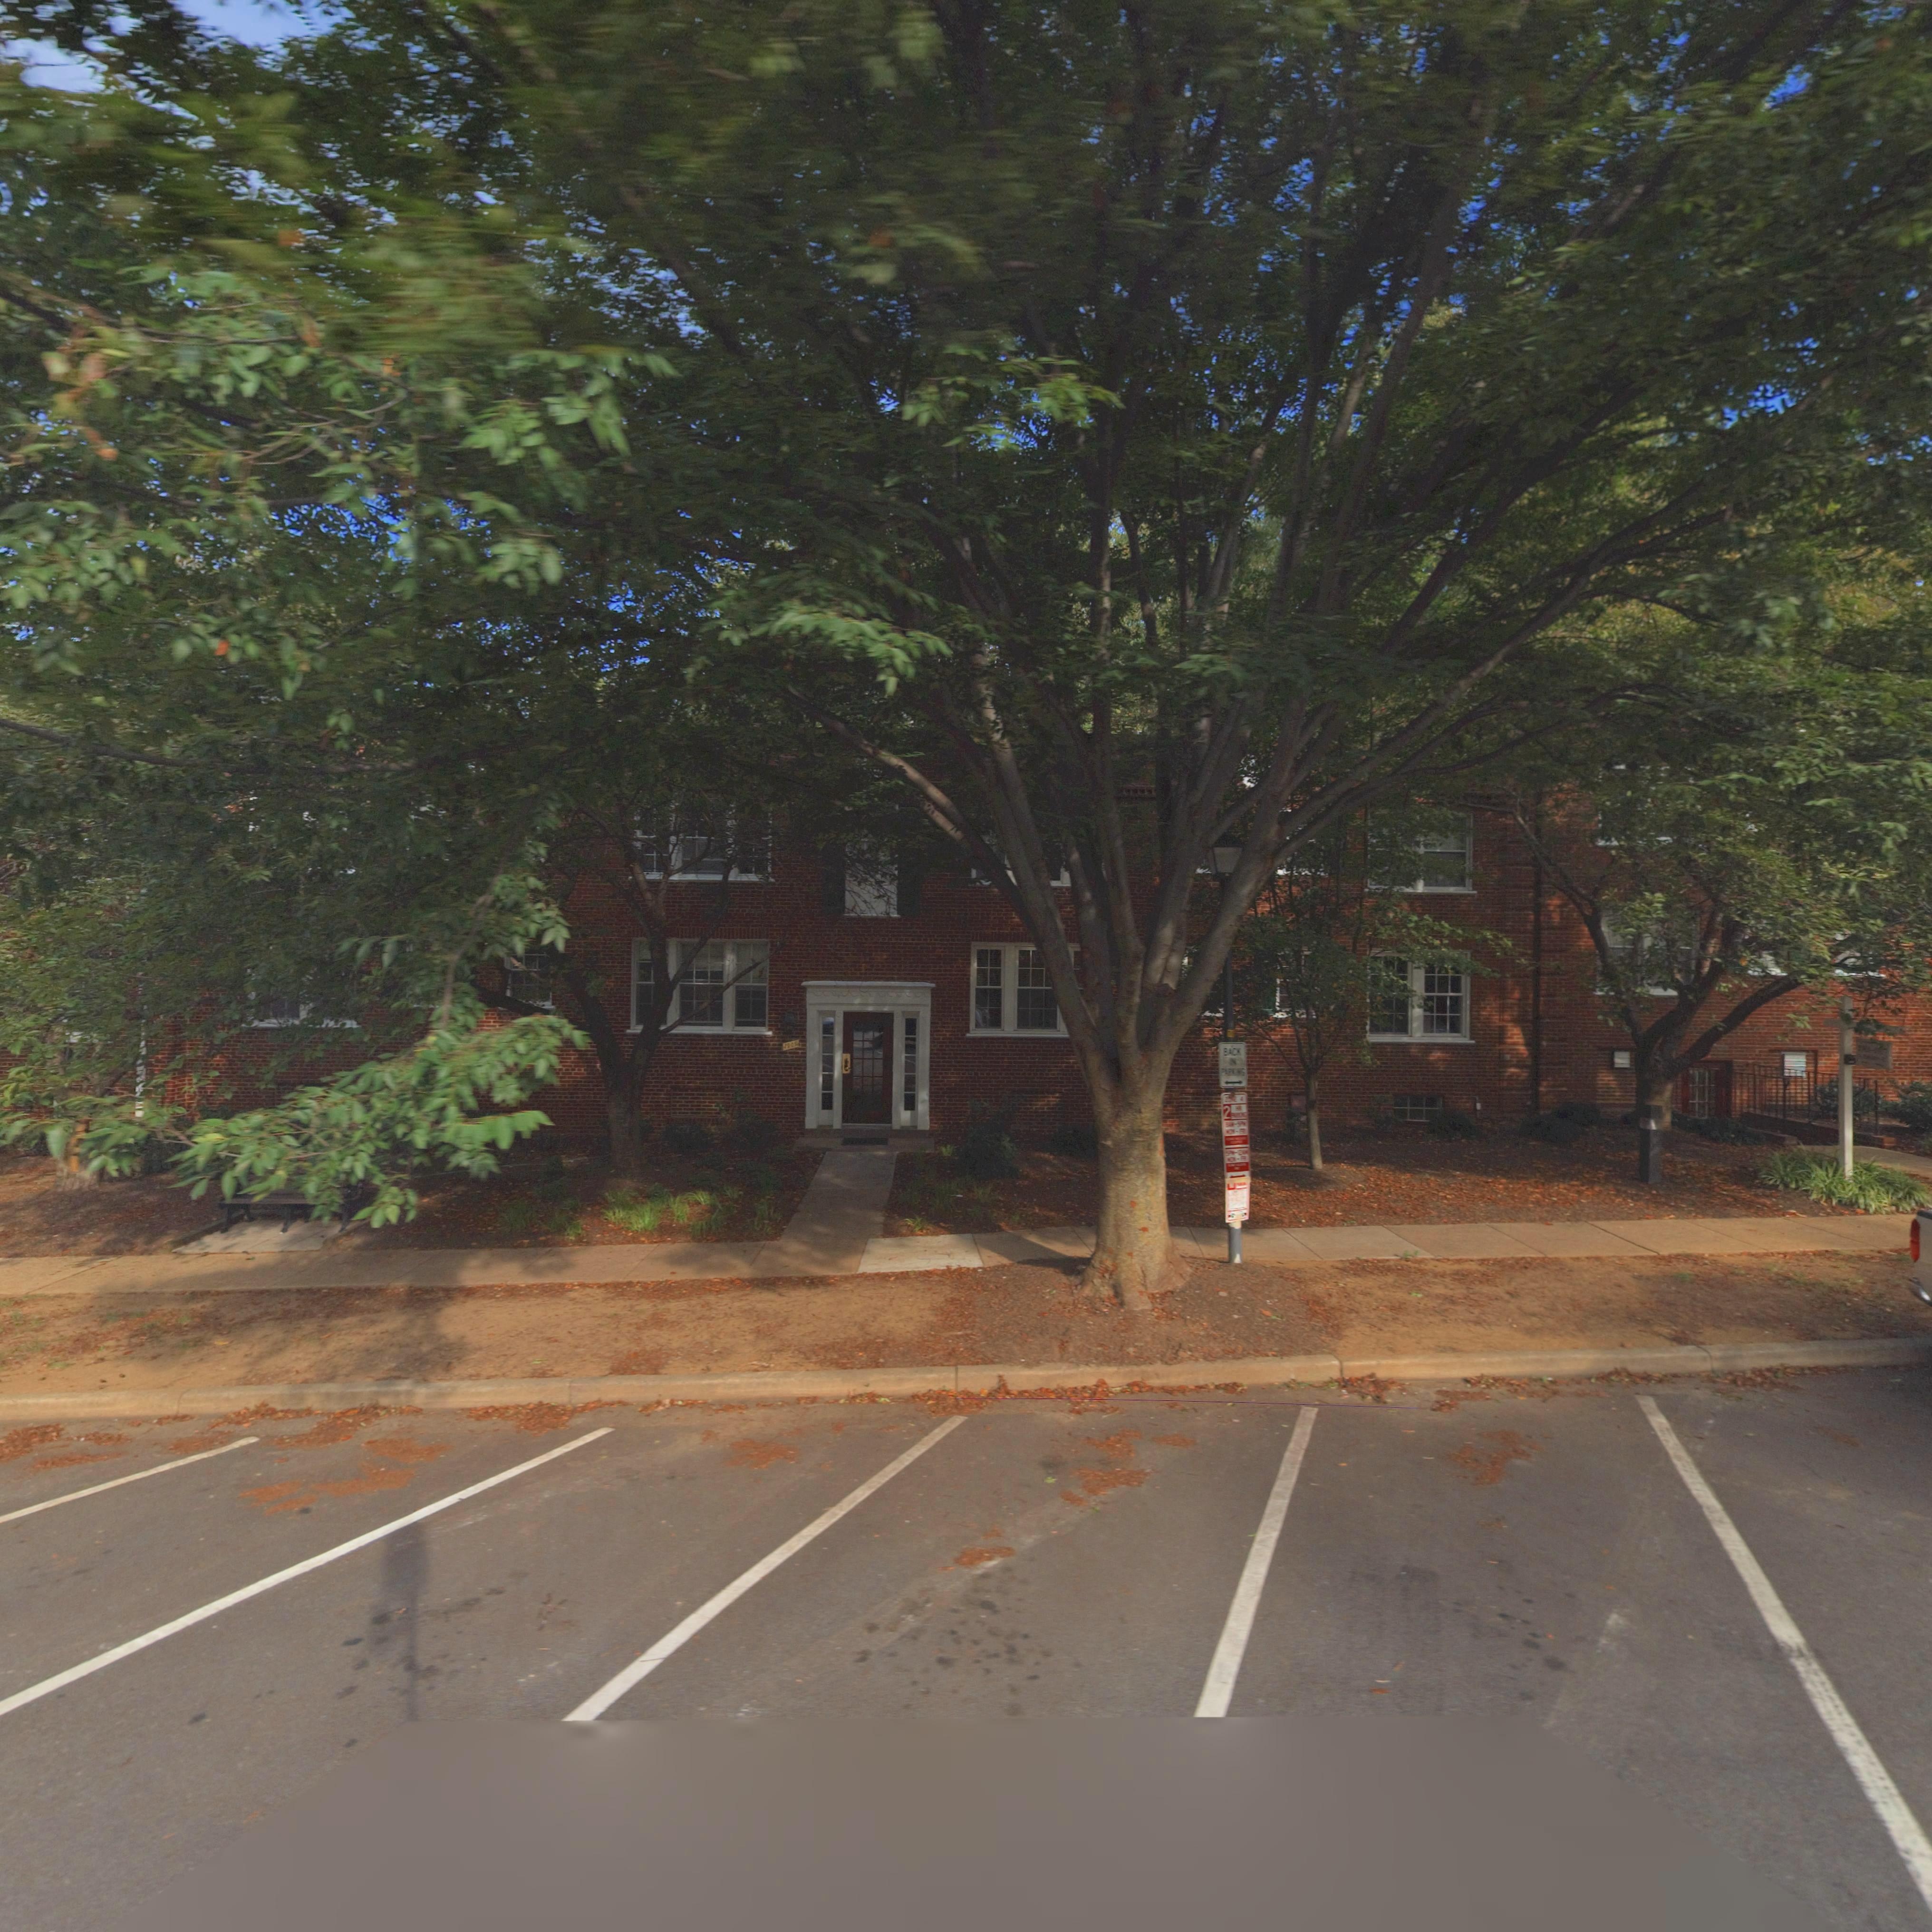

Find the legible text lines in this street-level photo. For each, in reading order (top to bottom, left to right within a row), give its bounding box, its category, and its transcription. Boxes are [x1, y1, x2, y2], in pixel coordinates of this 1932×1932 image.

[783, 1040, 798, 1050] StreetNumber: 1905
[1223, 1047, 1238, 1057] None: BAC
[1234, 1096, 1245, 1103] None: E 4
[1222, 1104, 1233, 1121] None: 2